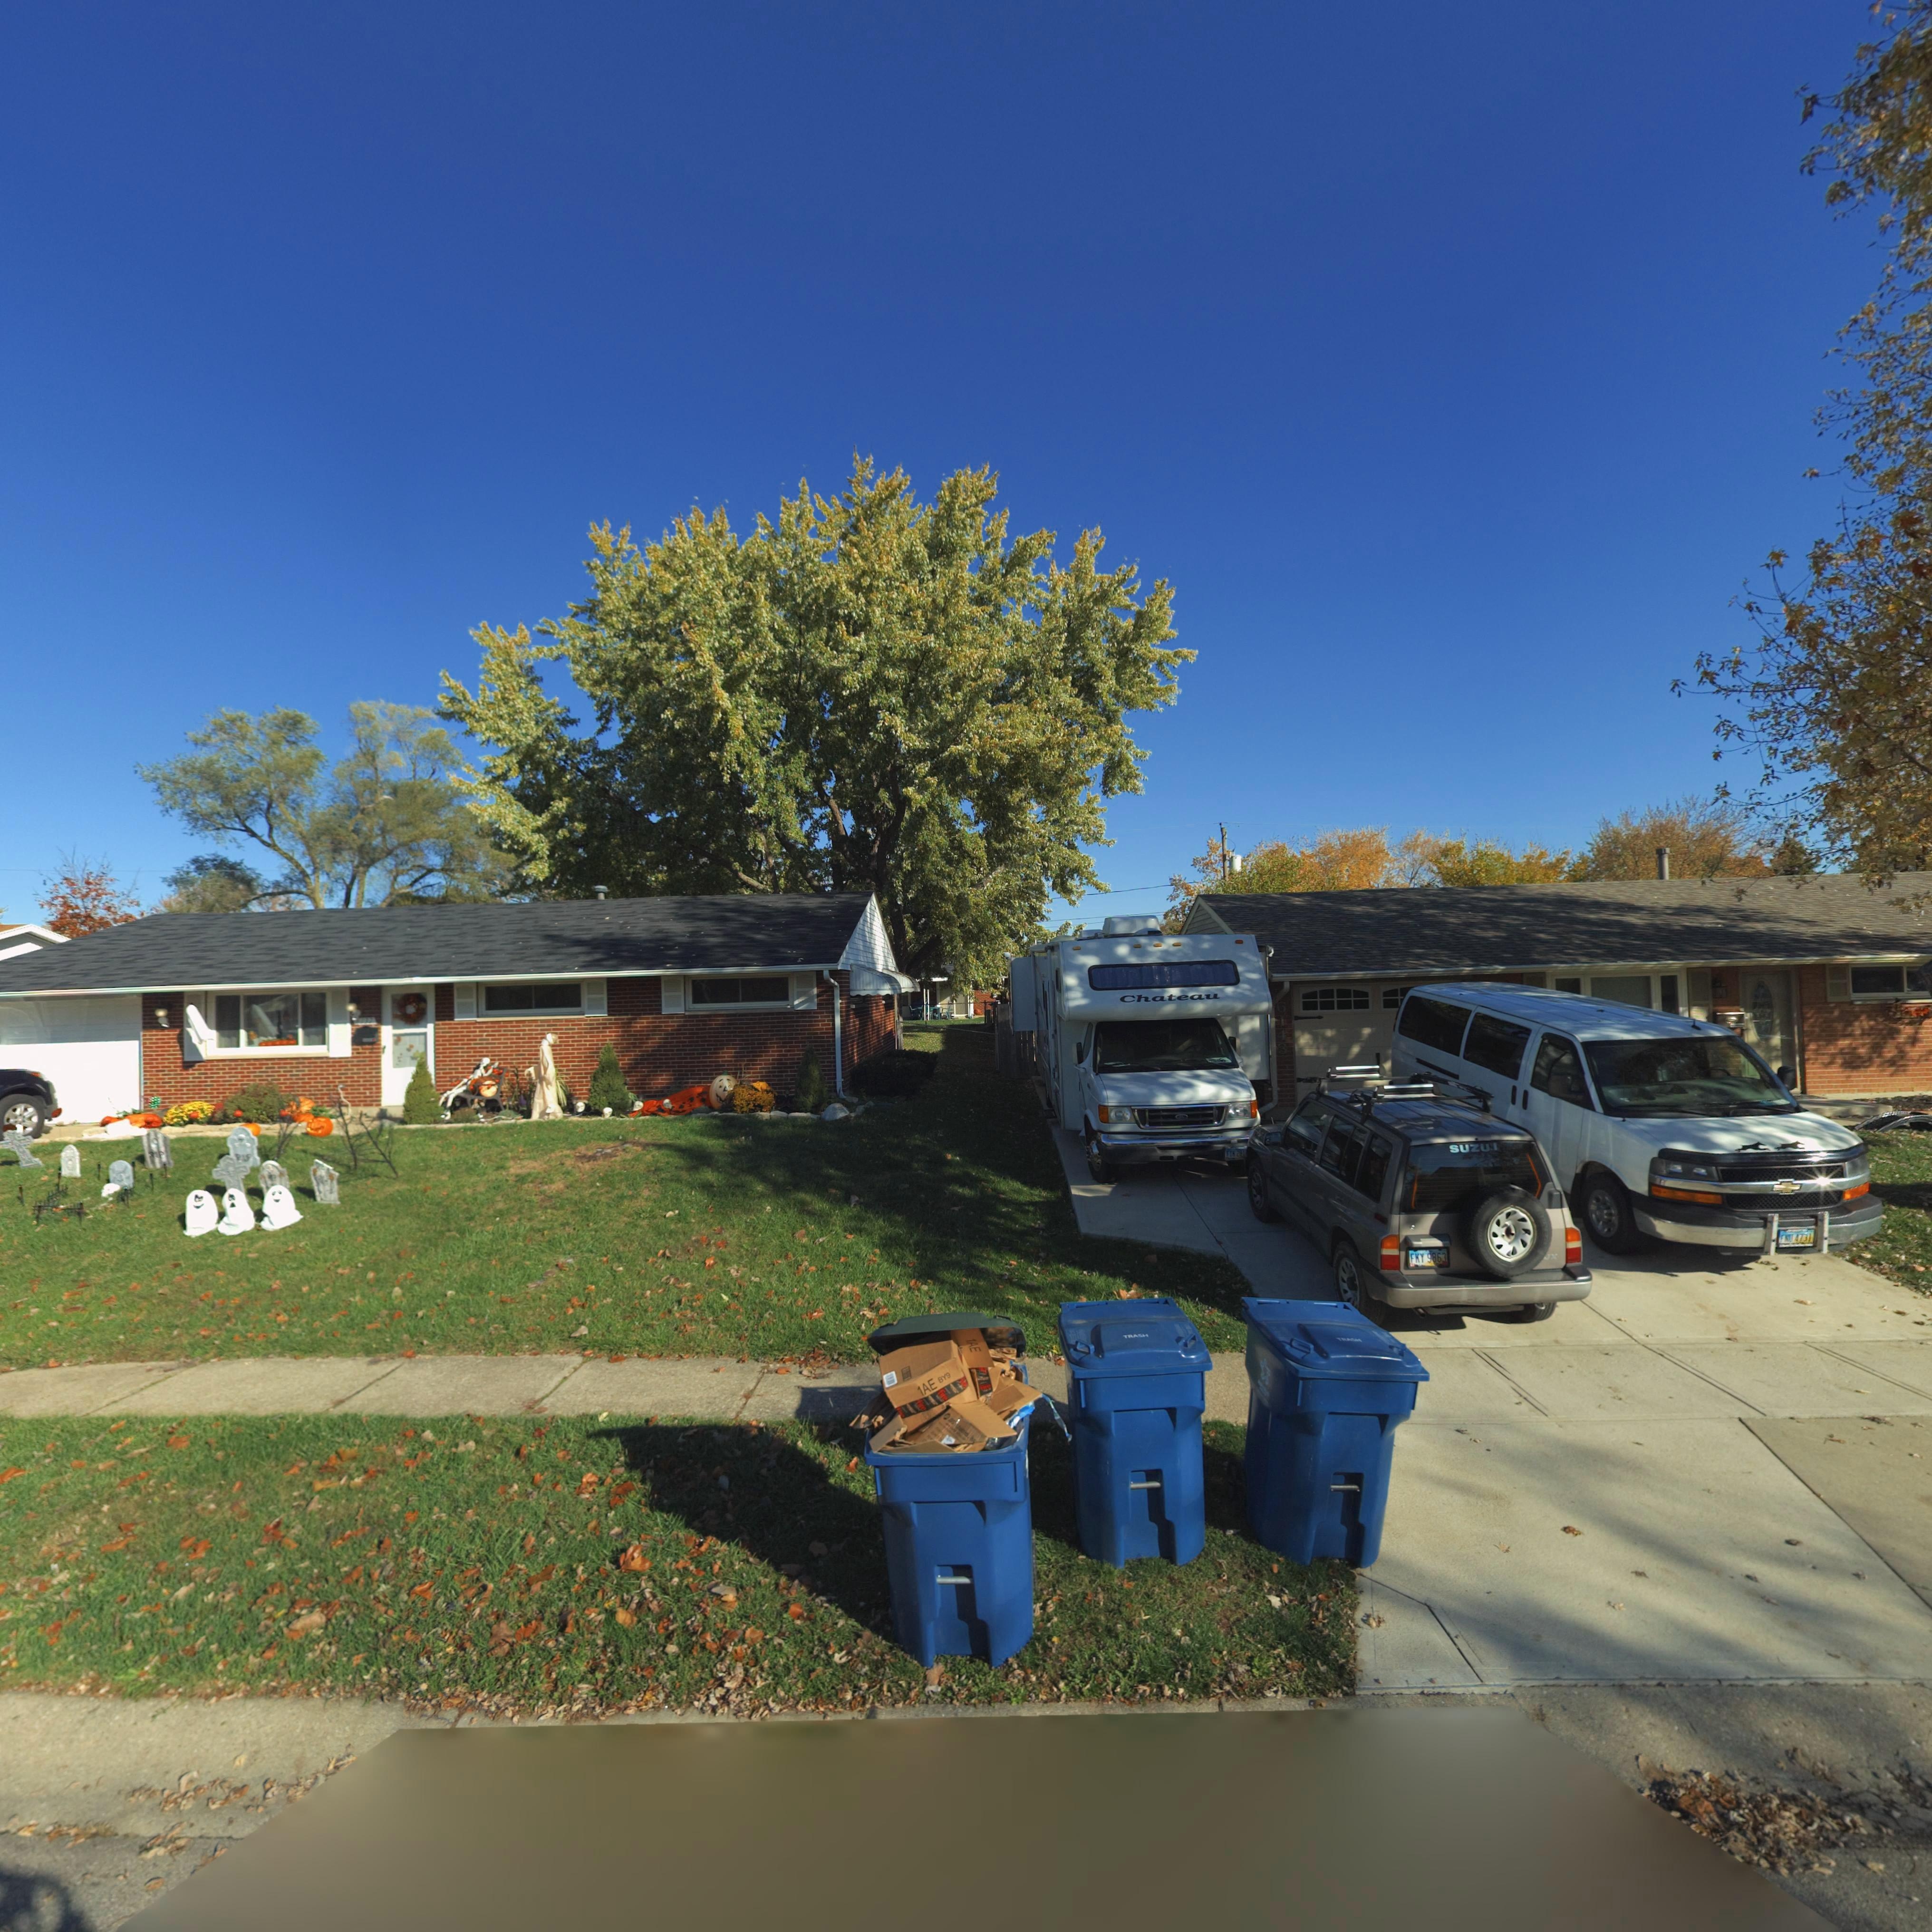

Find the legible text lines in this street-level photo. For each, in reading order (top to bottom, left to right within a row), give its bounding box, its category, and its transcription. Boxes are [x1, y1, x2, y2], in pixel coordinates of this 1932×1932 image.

[353, 1016, 374, 1024] StreetNumber: 613*
[1276, 1000, 1288, 1055] StreetNumber: 6143